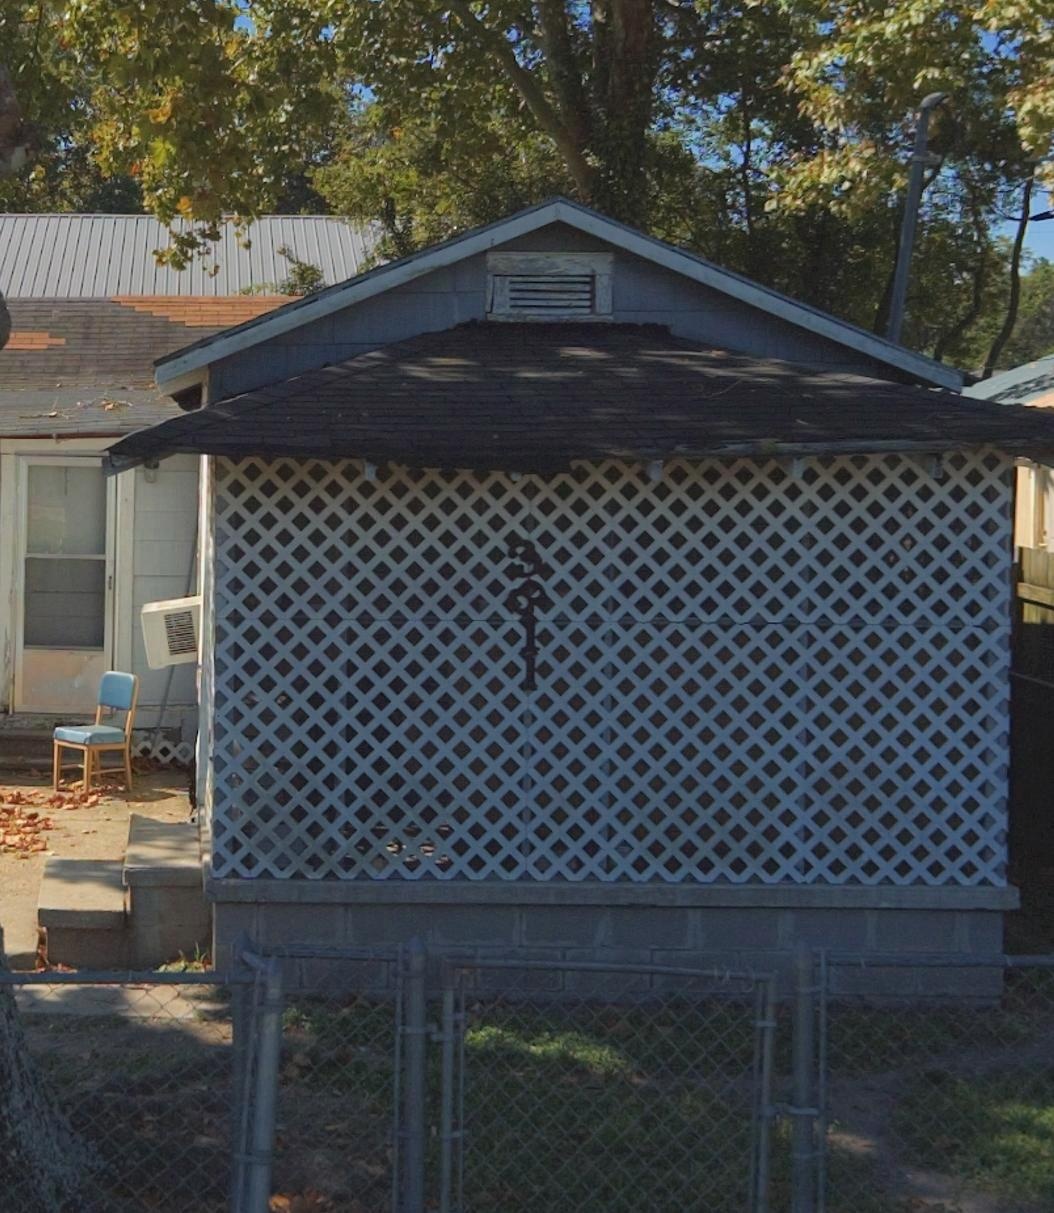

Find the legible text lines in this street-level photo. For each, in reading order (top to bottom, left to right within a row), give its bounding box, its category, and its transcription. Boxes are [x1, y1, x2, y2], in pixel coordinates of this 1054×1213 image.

[506, 534, 547, 692] StreetNumber: 3811